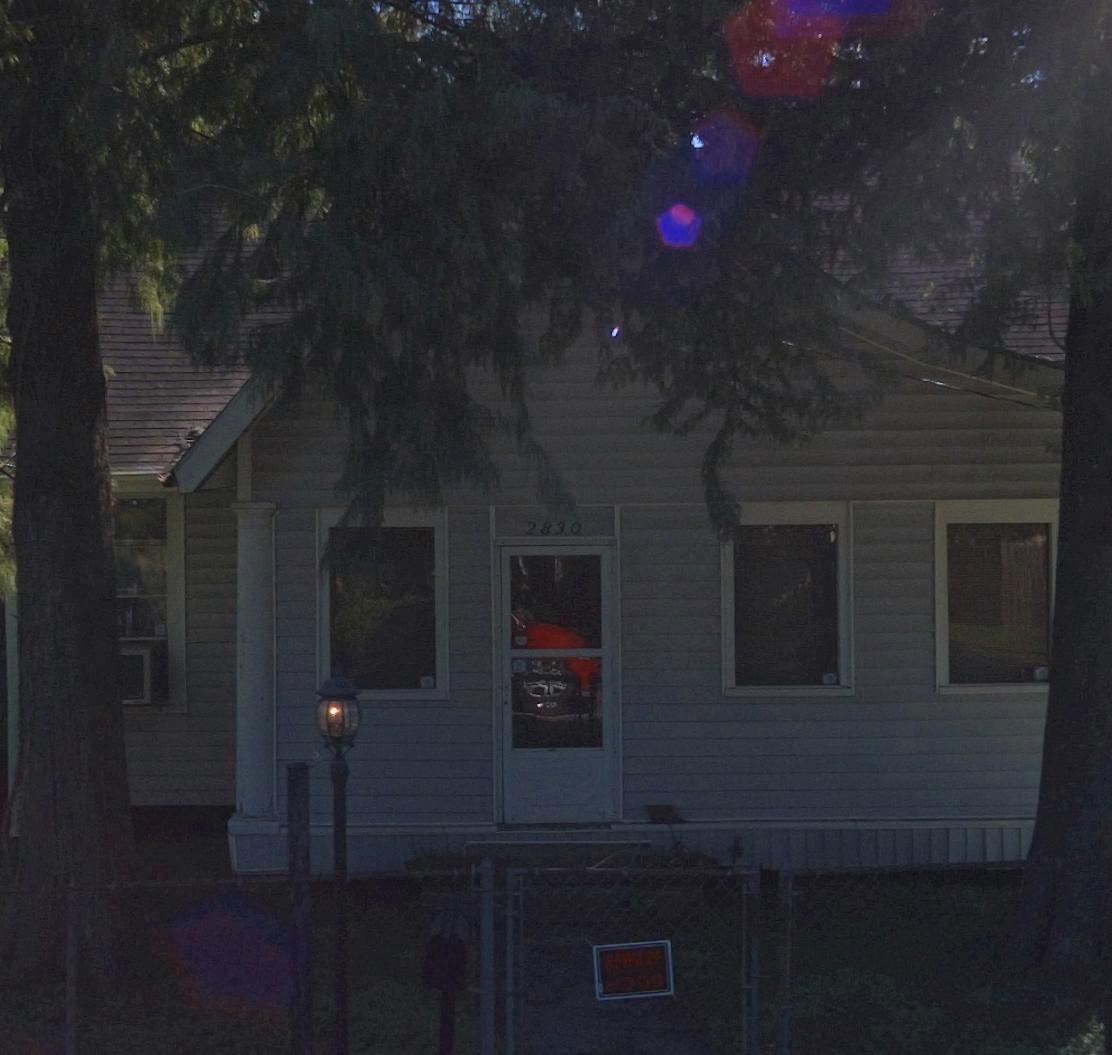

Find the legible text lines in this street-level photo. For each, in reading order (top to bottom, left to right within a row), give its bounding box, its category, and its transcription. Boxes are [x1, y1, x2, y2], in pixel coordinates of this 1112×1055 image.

[523, 518, 584, 537] StreetNumber: 2830